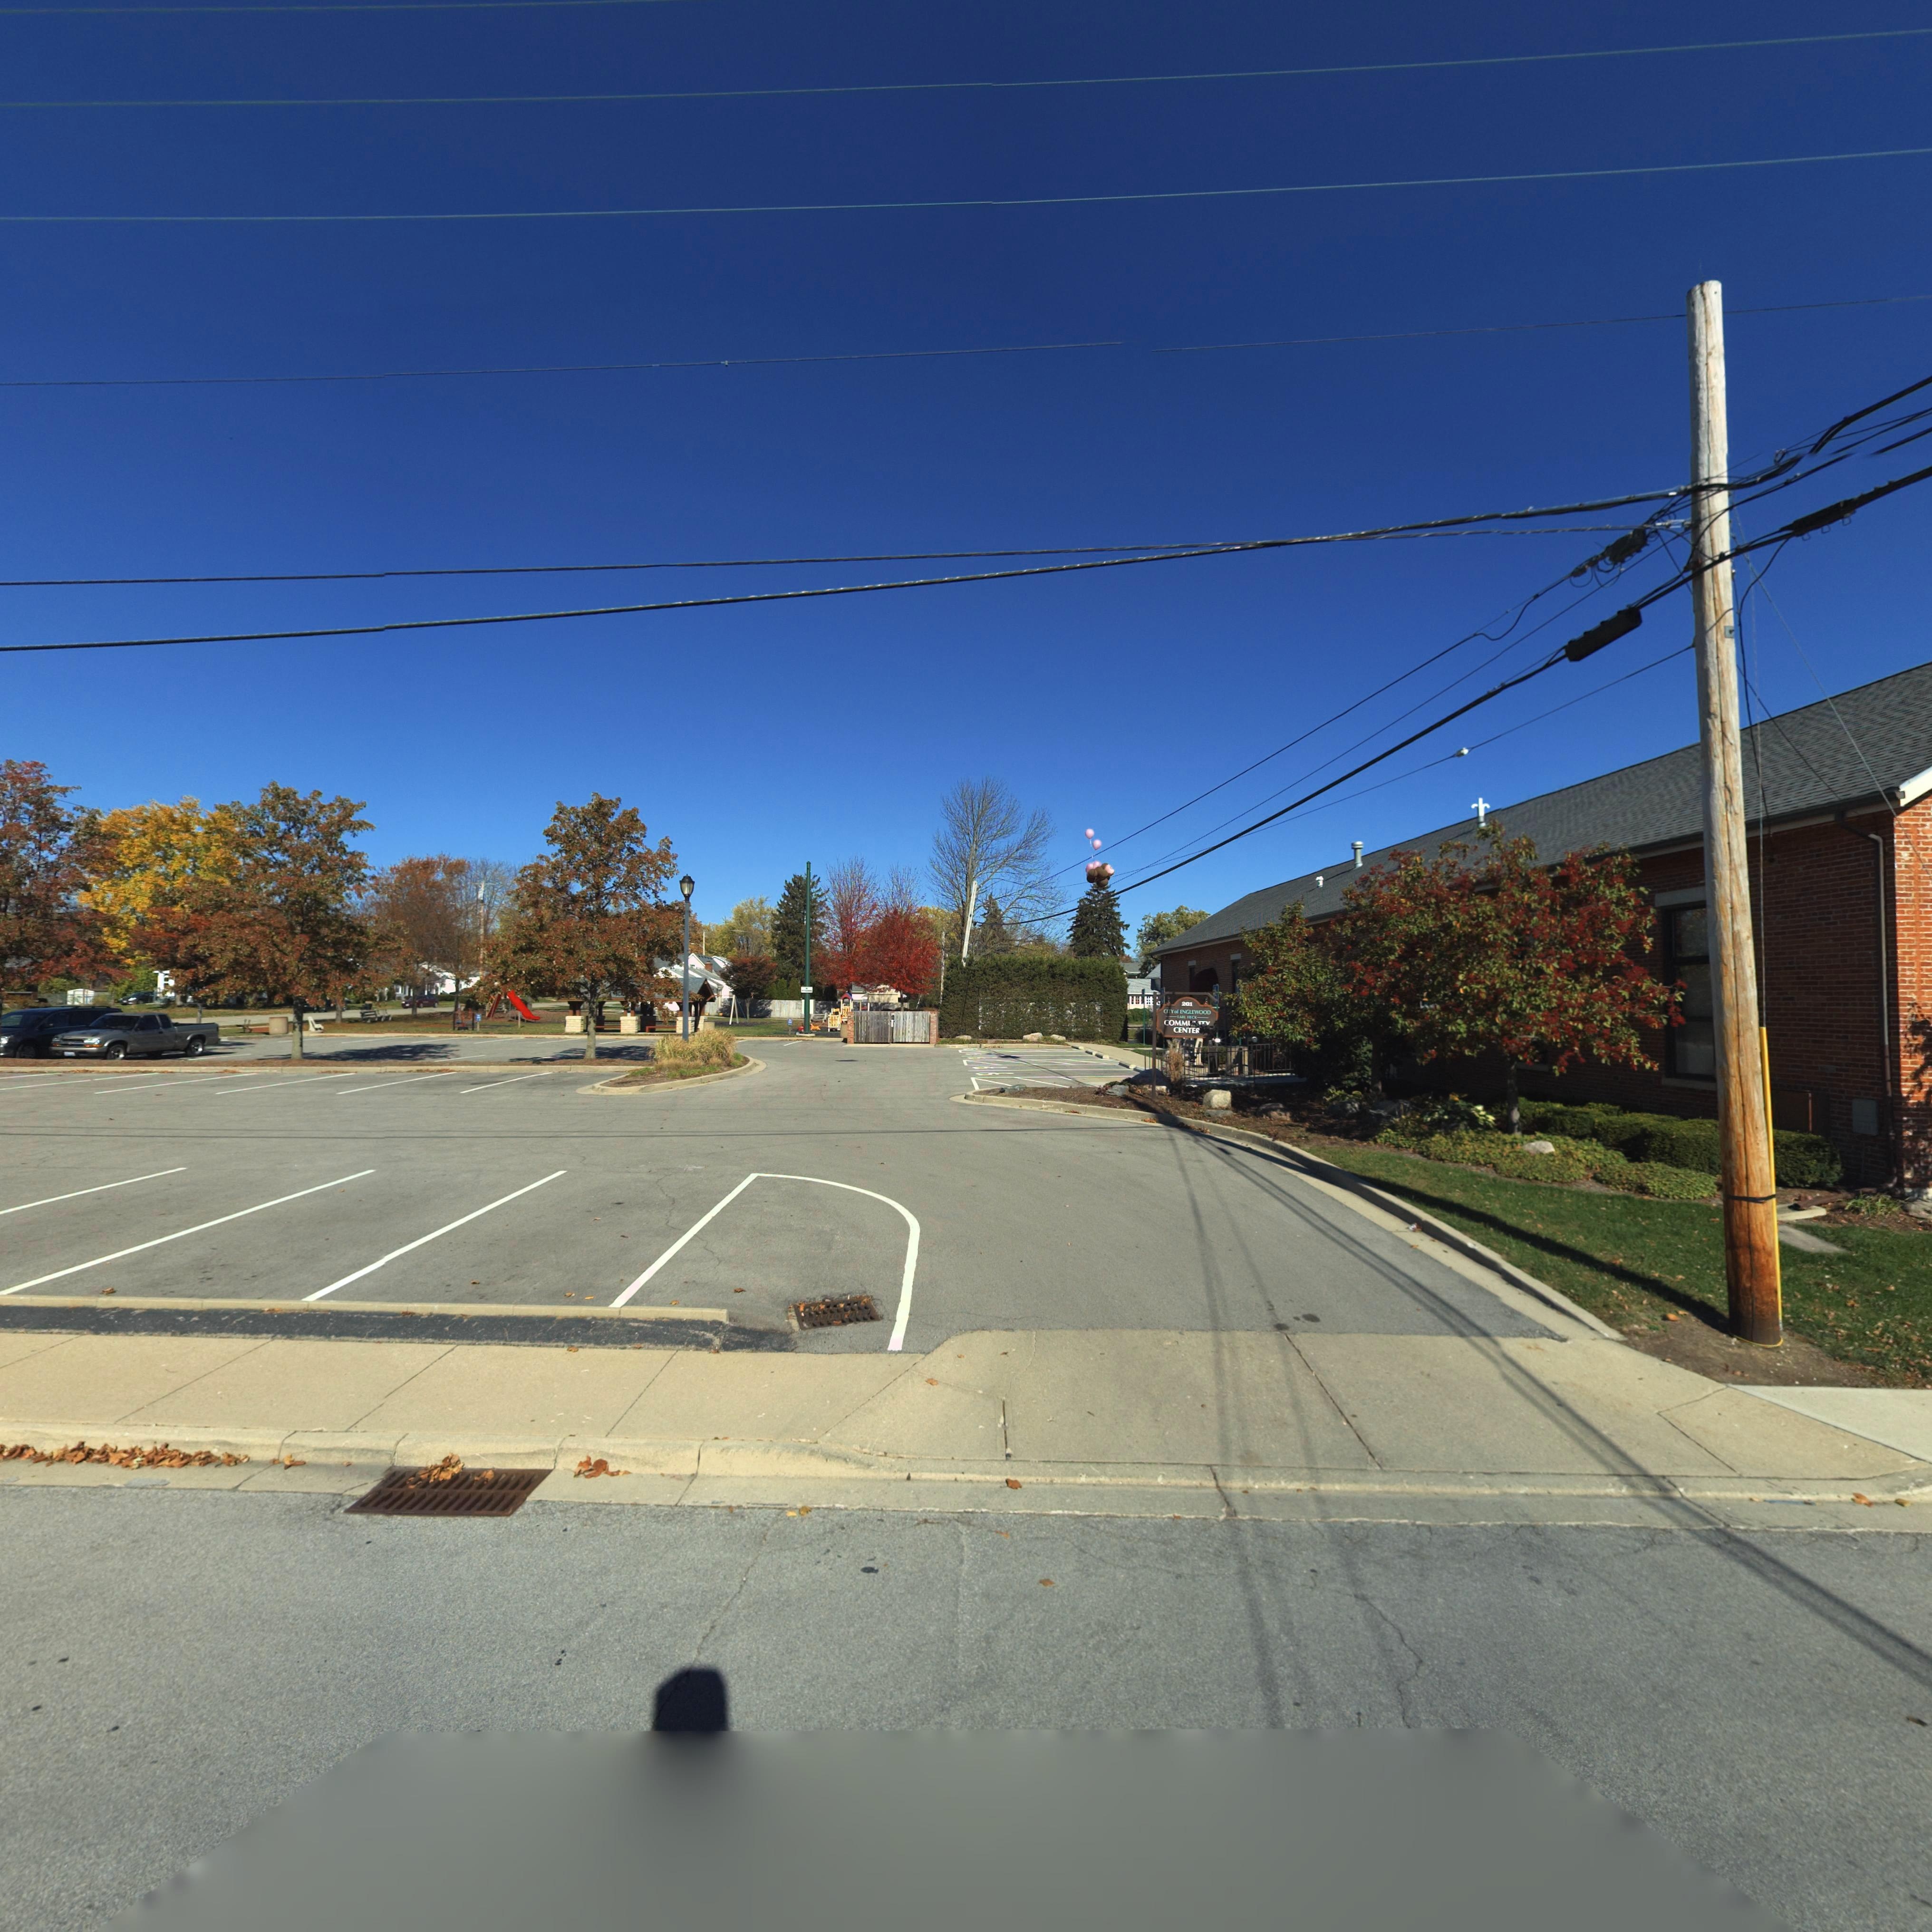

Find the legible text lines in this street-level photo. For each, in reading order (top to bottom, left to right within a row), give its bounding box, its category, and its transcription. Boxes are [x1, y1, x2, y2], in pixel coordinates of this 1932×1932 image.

[1181, 1001, 1193, 1007] StreetNumber: 201
[1163, 1008, 1211, 1015] None: CITY of ENGLEWOOD
[1163, 1019, 1188, 1027] None: COMM
[1172, 1026, 1201, 1034] None: CENTER